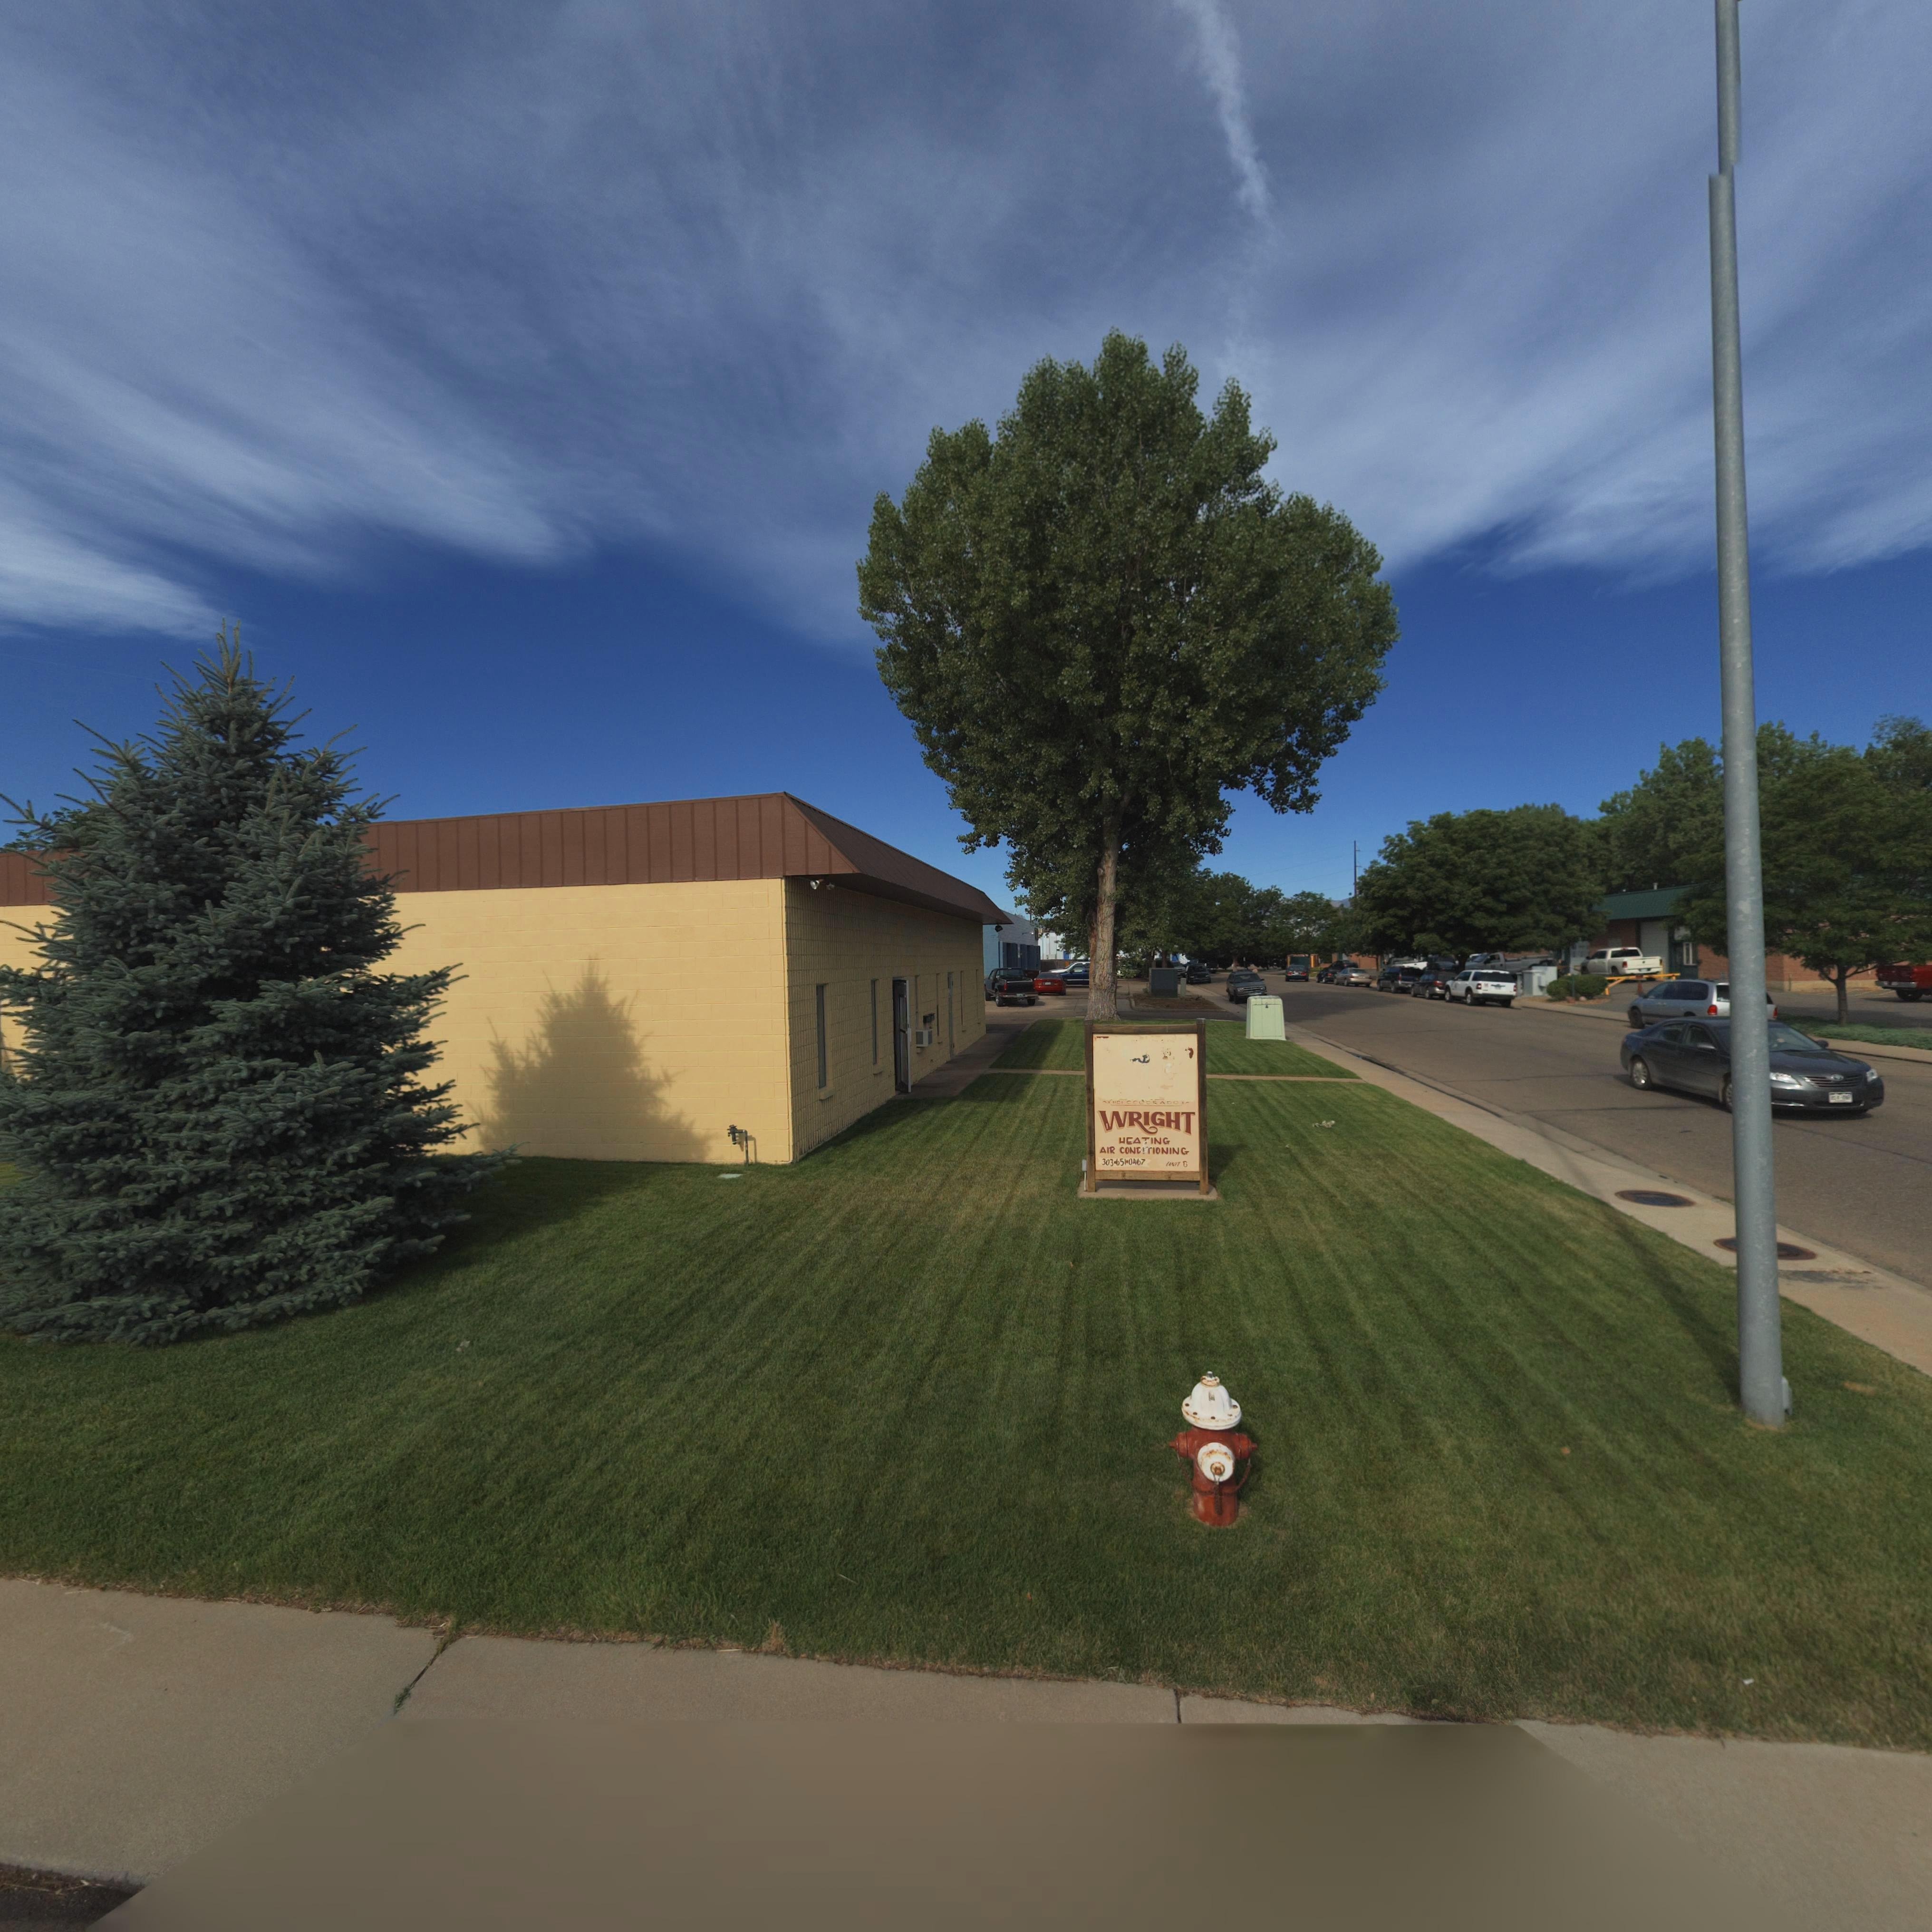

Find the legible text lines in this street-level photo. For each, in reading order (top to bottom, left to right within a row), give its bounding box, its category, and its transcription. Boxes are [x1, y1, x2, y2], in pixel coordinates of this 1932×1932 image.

[1097, 1110, 1196, 1135] BusinessName: WRIGHT
[1119, 1136, 1170, 1145] BusinessName: HEATING
[1099, 1146, 1189, 1155] BusinessName: AIR CONDITIONING
[1165, 1160, 1188, 1168] SecondaryUnitDesignator: UNIT B